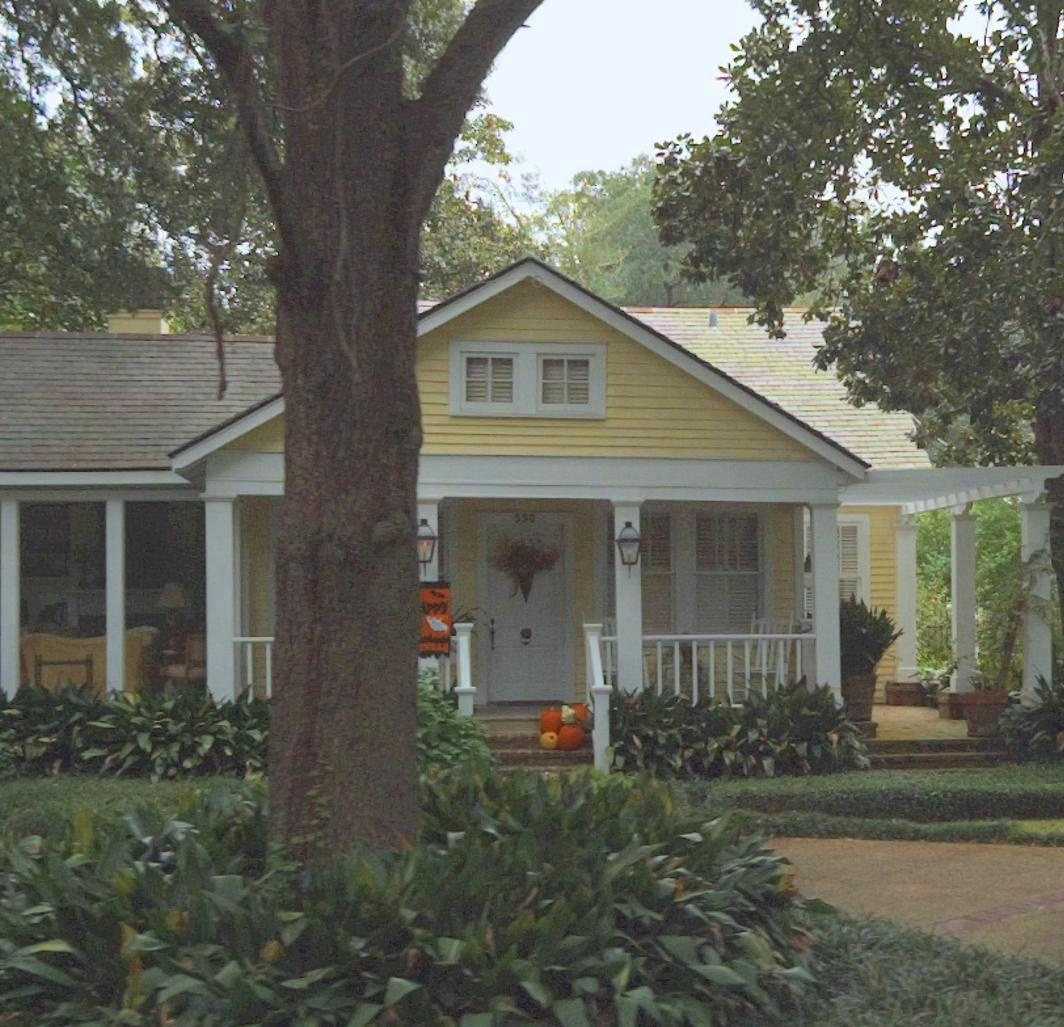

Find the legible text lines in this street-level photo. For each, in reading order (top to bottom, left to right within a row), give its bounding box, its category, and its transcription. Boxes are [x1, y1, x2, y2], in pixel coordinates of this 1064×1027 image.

[514, 513, 536, 524] StreetNumber: 550
[425, 600, 450, 614] None: PPY